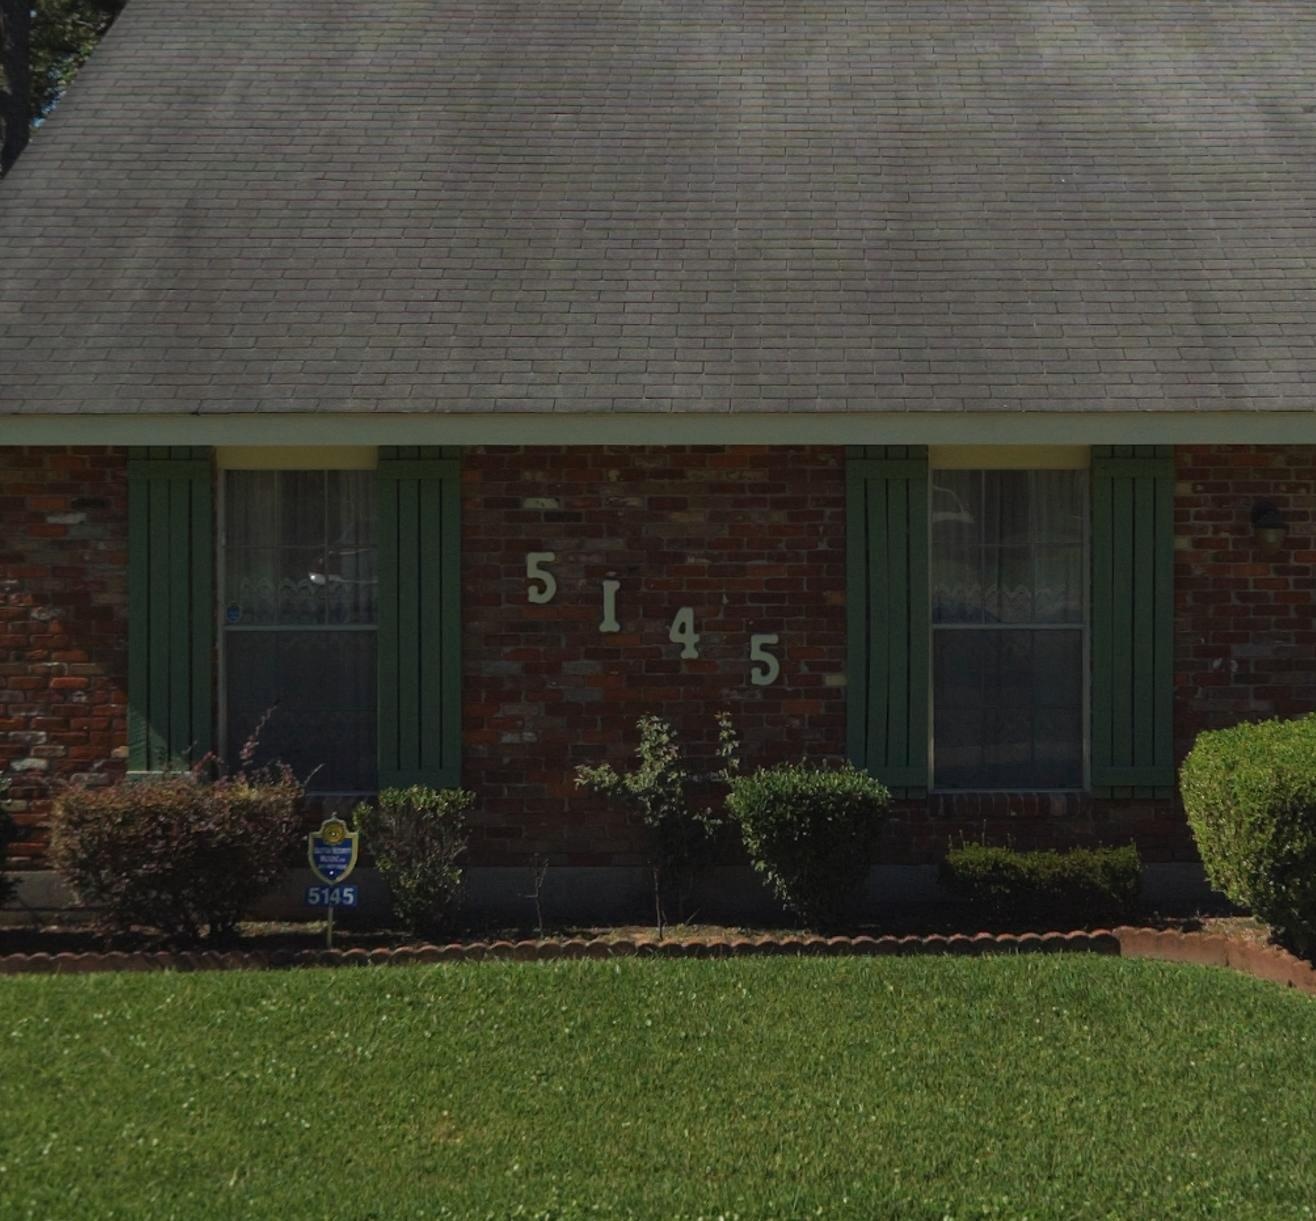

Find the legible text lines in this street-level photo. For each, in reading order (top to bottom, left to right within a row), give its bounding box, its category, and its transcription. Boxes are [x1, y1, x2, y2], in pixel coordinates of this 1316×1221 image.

[524, 550, 784, 688] StreetNumber: 5145
[306, 886, 356, 906] StreetNumber: 5145